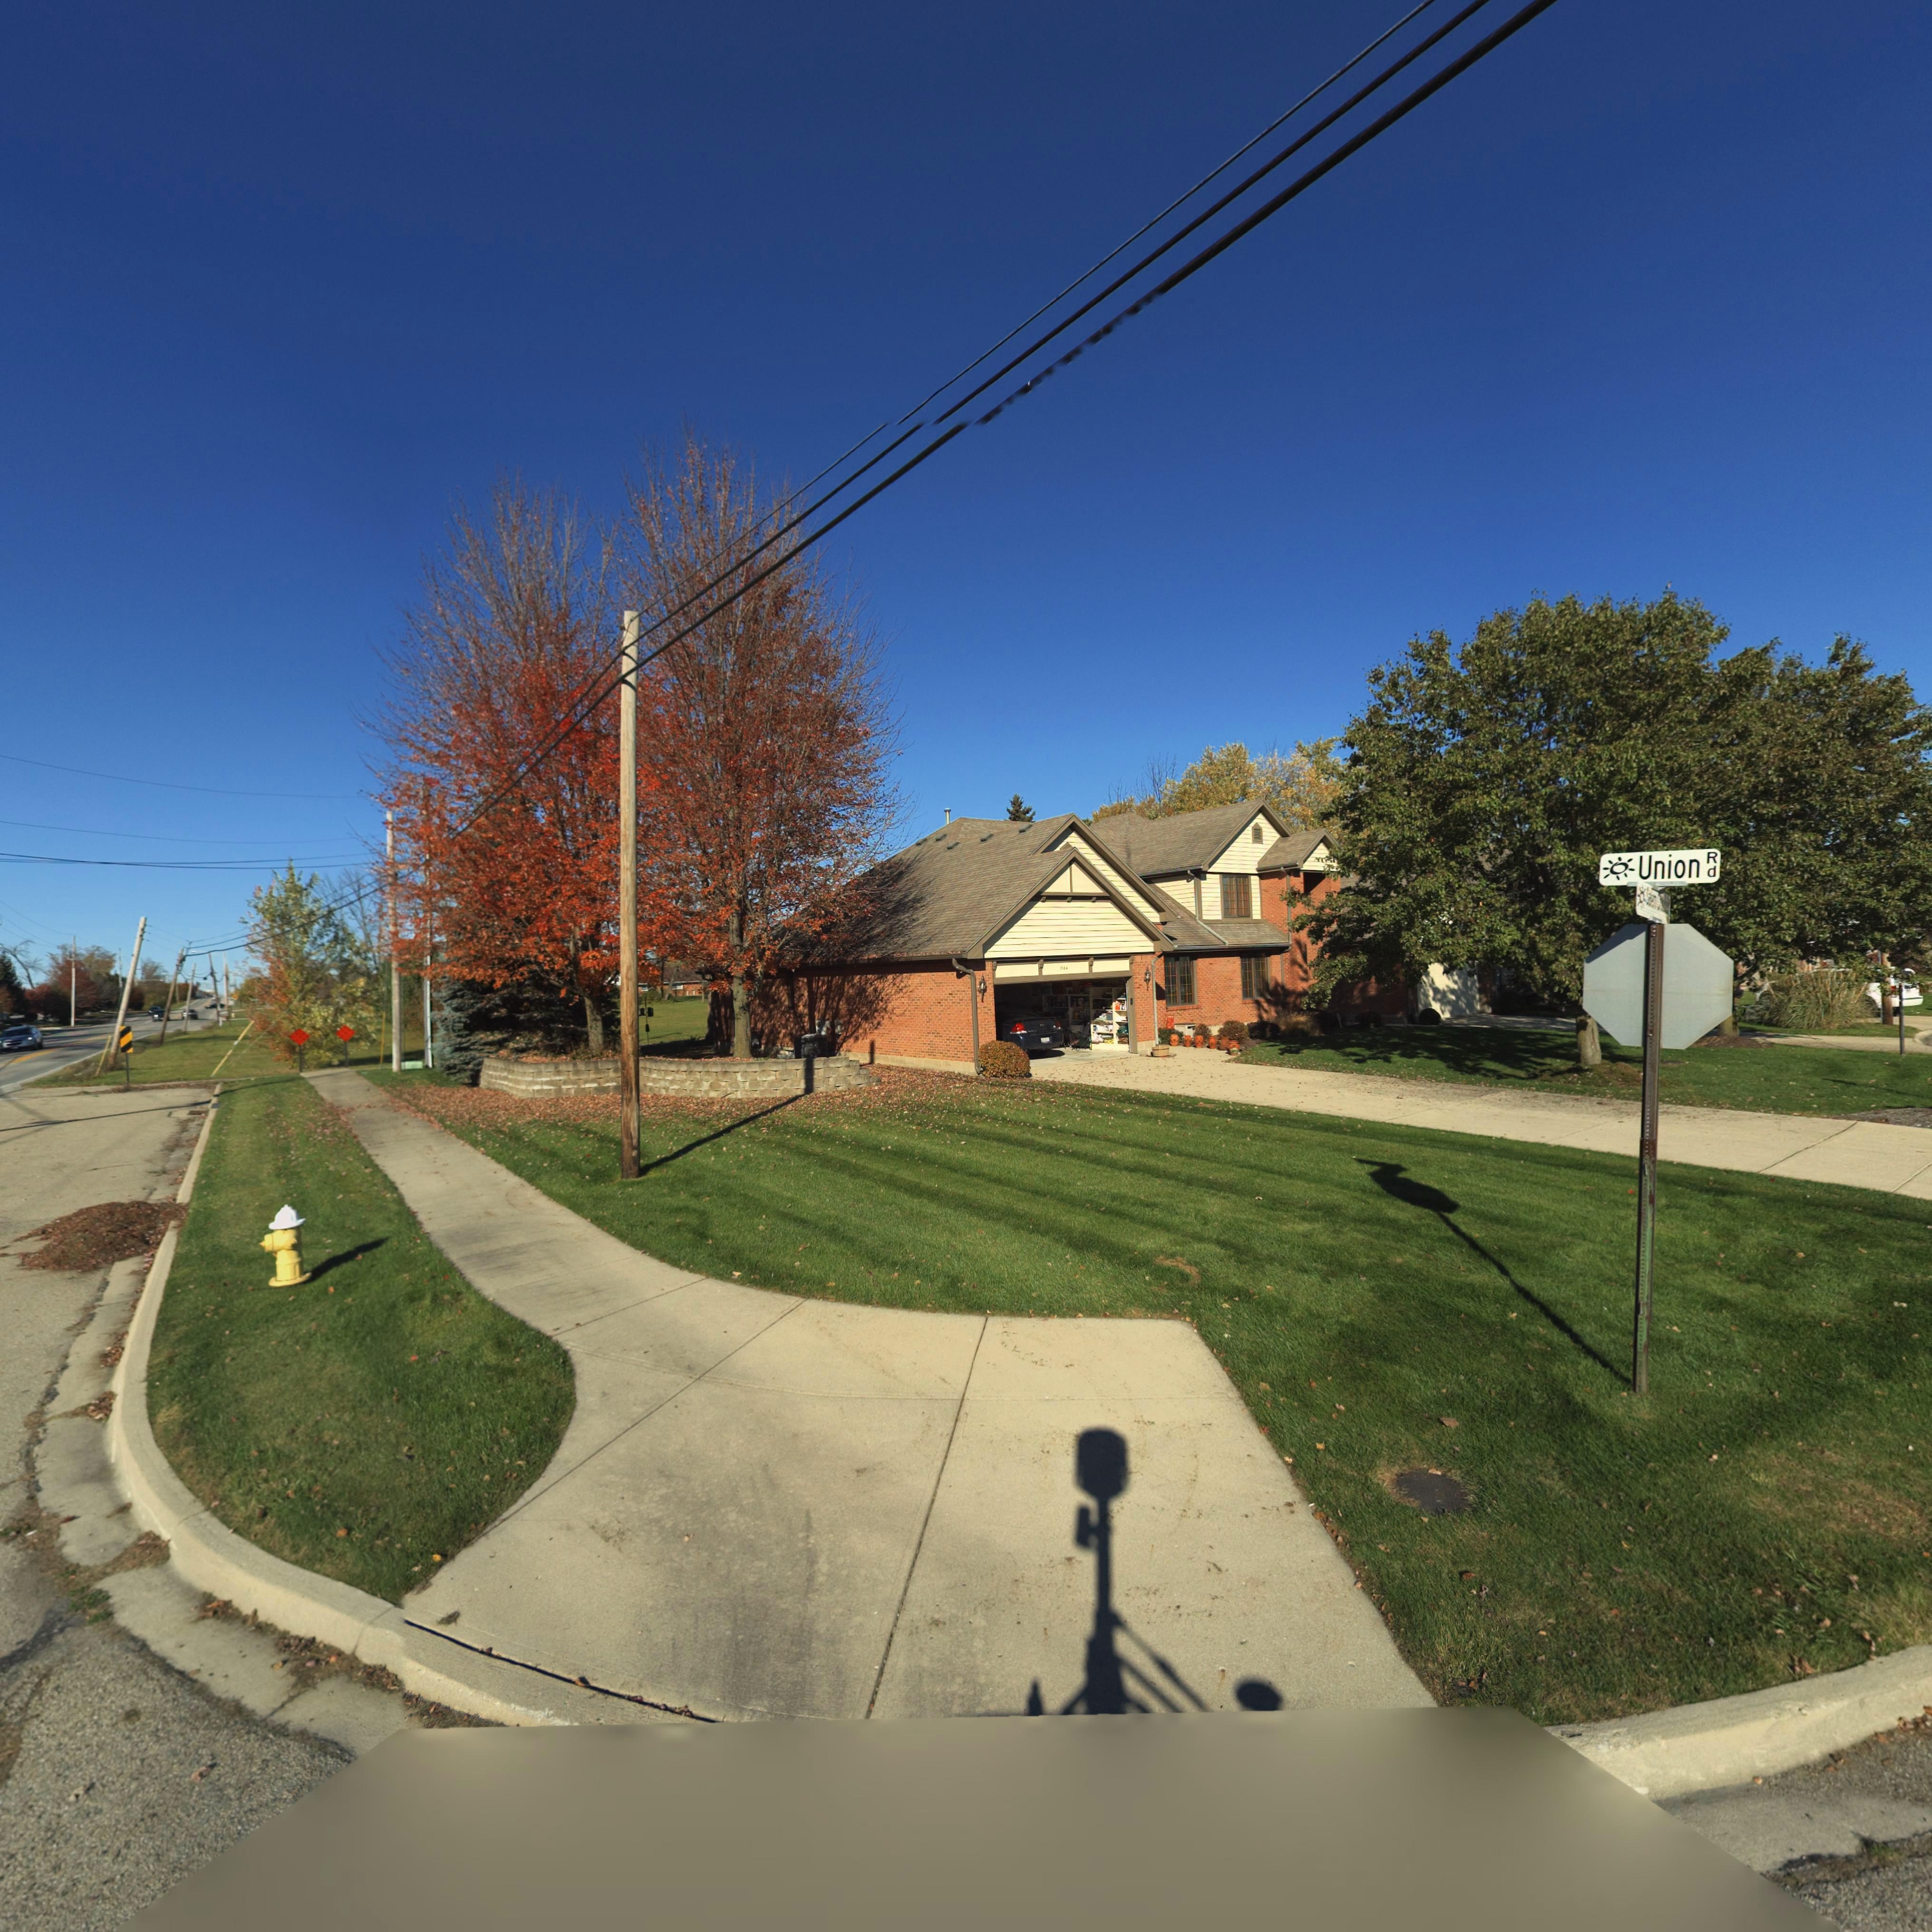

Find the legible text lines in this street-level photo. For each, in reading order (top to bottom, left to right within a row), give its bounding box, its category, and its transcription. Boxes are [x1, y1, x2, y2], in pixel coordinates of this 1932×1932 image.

[1060, 966, 1068, 970] StreetNumber: 7164